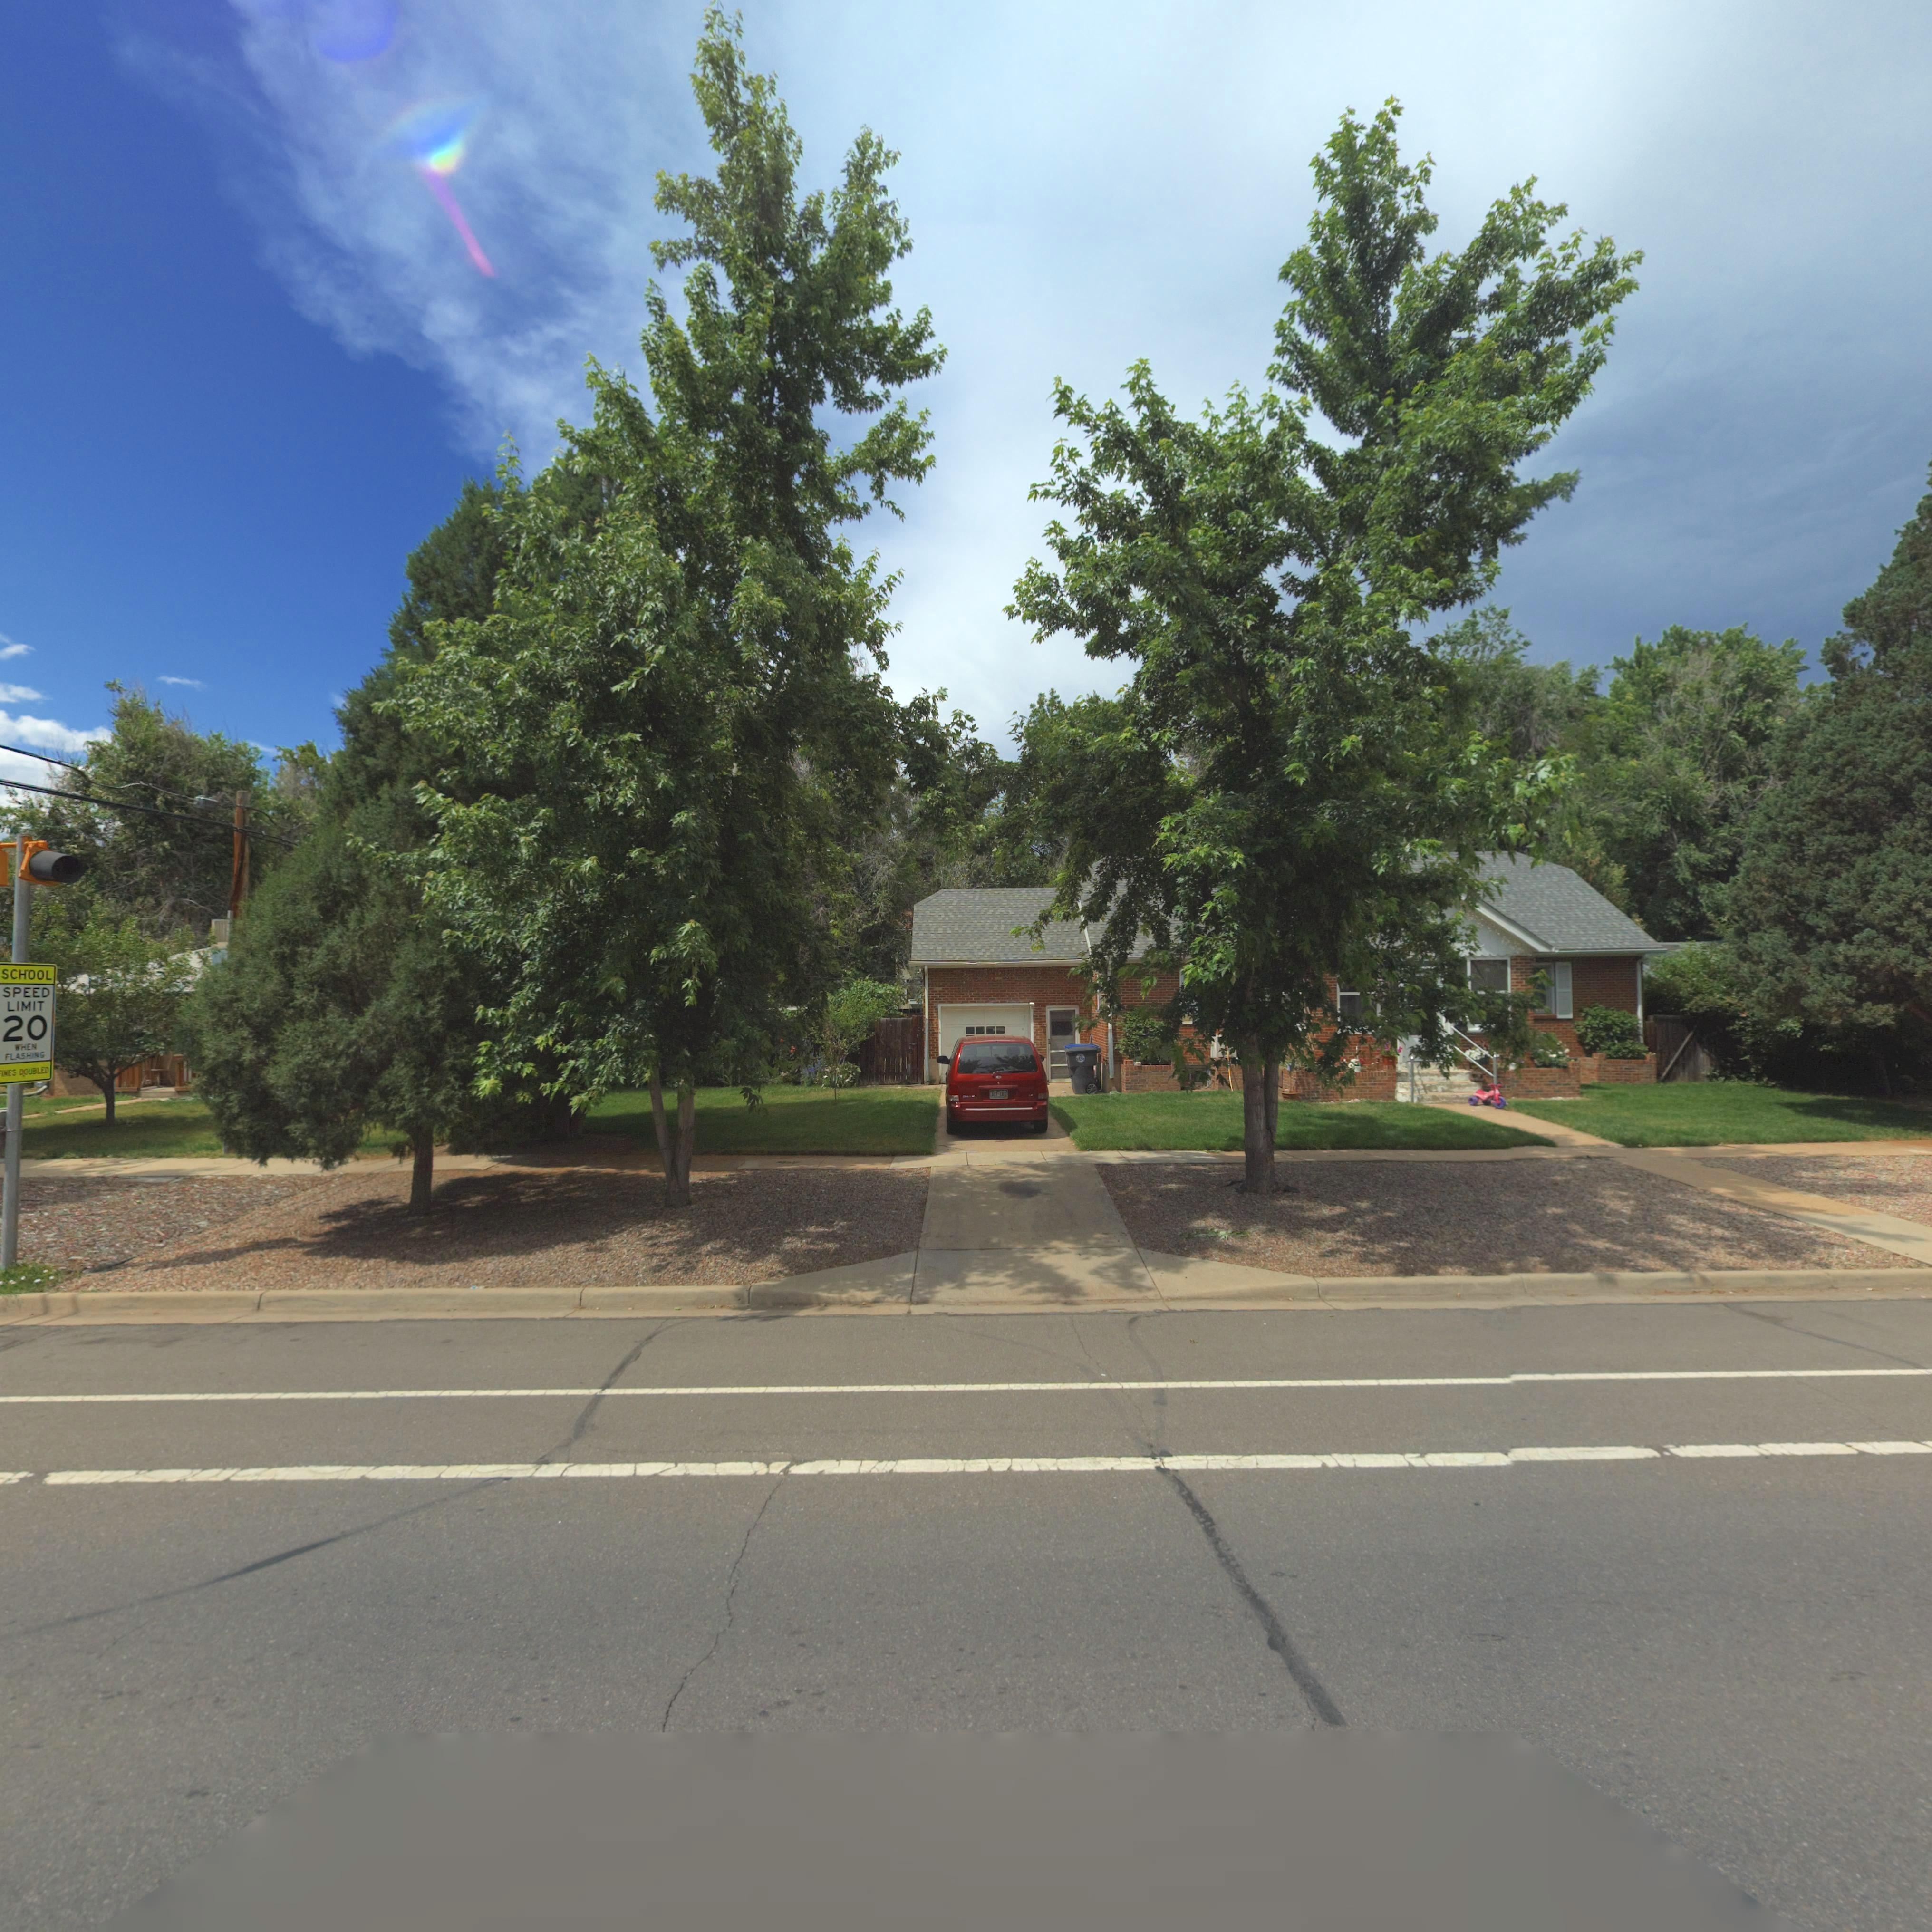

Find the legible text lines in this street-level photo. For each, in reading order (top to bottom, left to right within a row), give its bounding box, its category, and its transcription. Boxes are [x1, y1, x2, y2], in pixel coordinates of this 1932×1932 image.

[2, 1014, 48, 1042] StreetNumber: 20